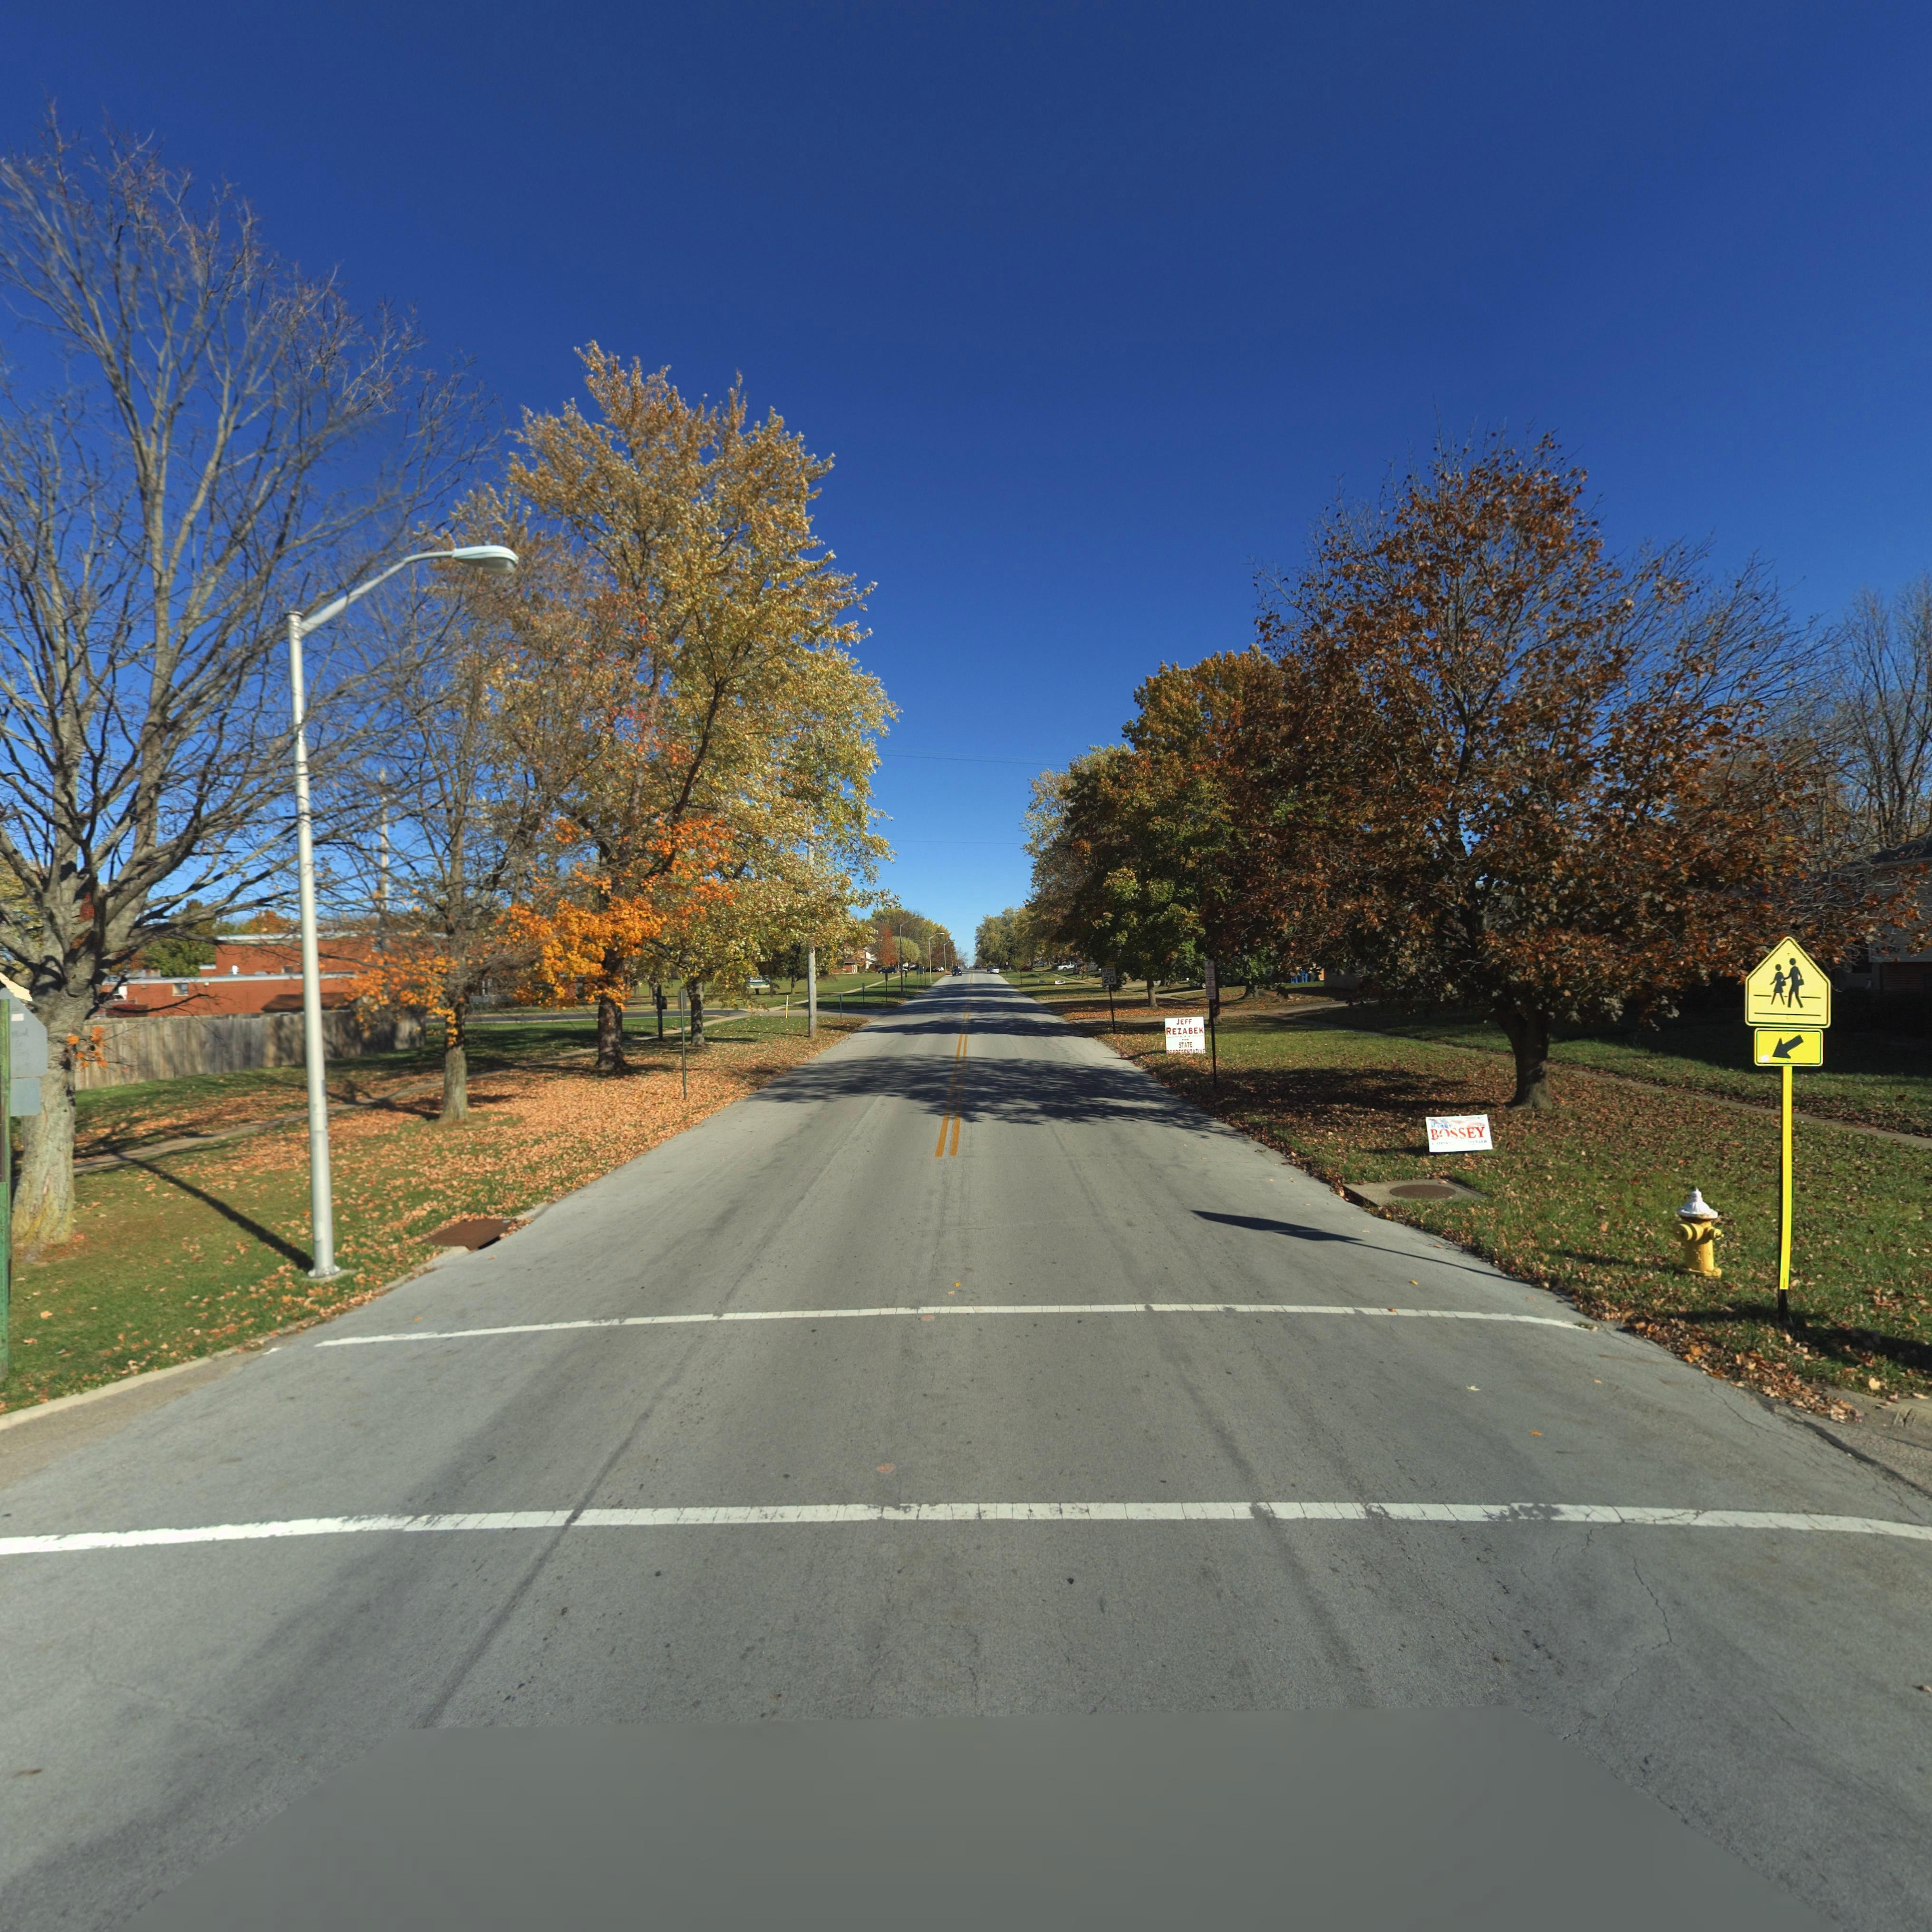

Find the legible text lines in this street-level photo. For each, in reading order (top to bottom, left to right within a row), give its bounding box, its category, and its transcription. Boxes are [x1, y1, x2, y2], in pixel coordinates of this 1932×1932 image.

[1873, 945, 1901, 954] StreetNumber: **60